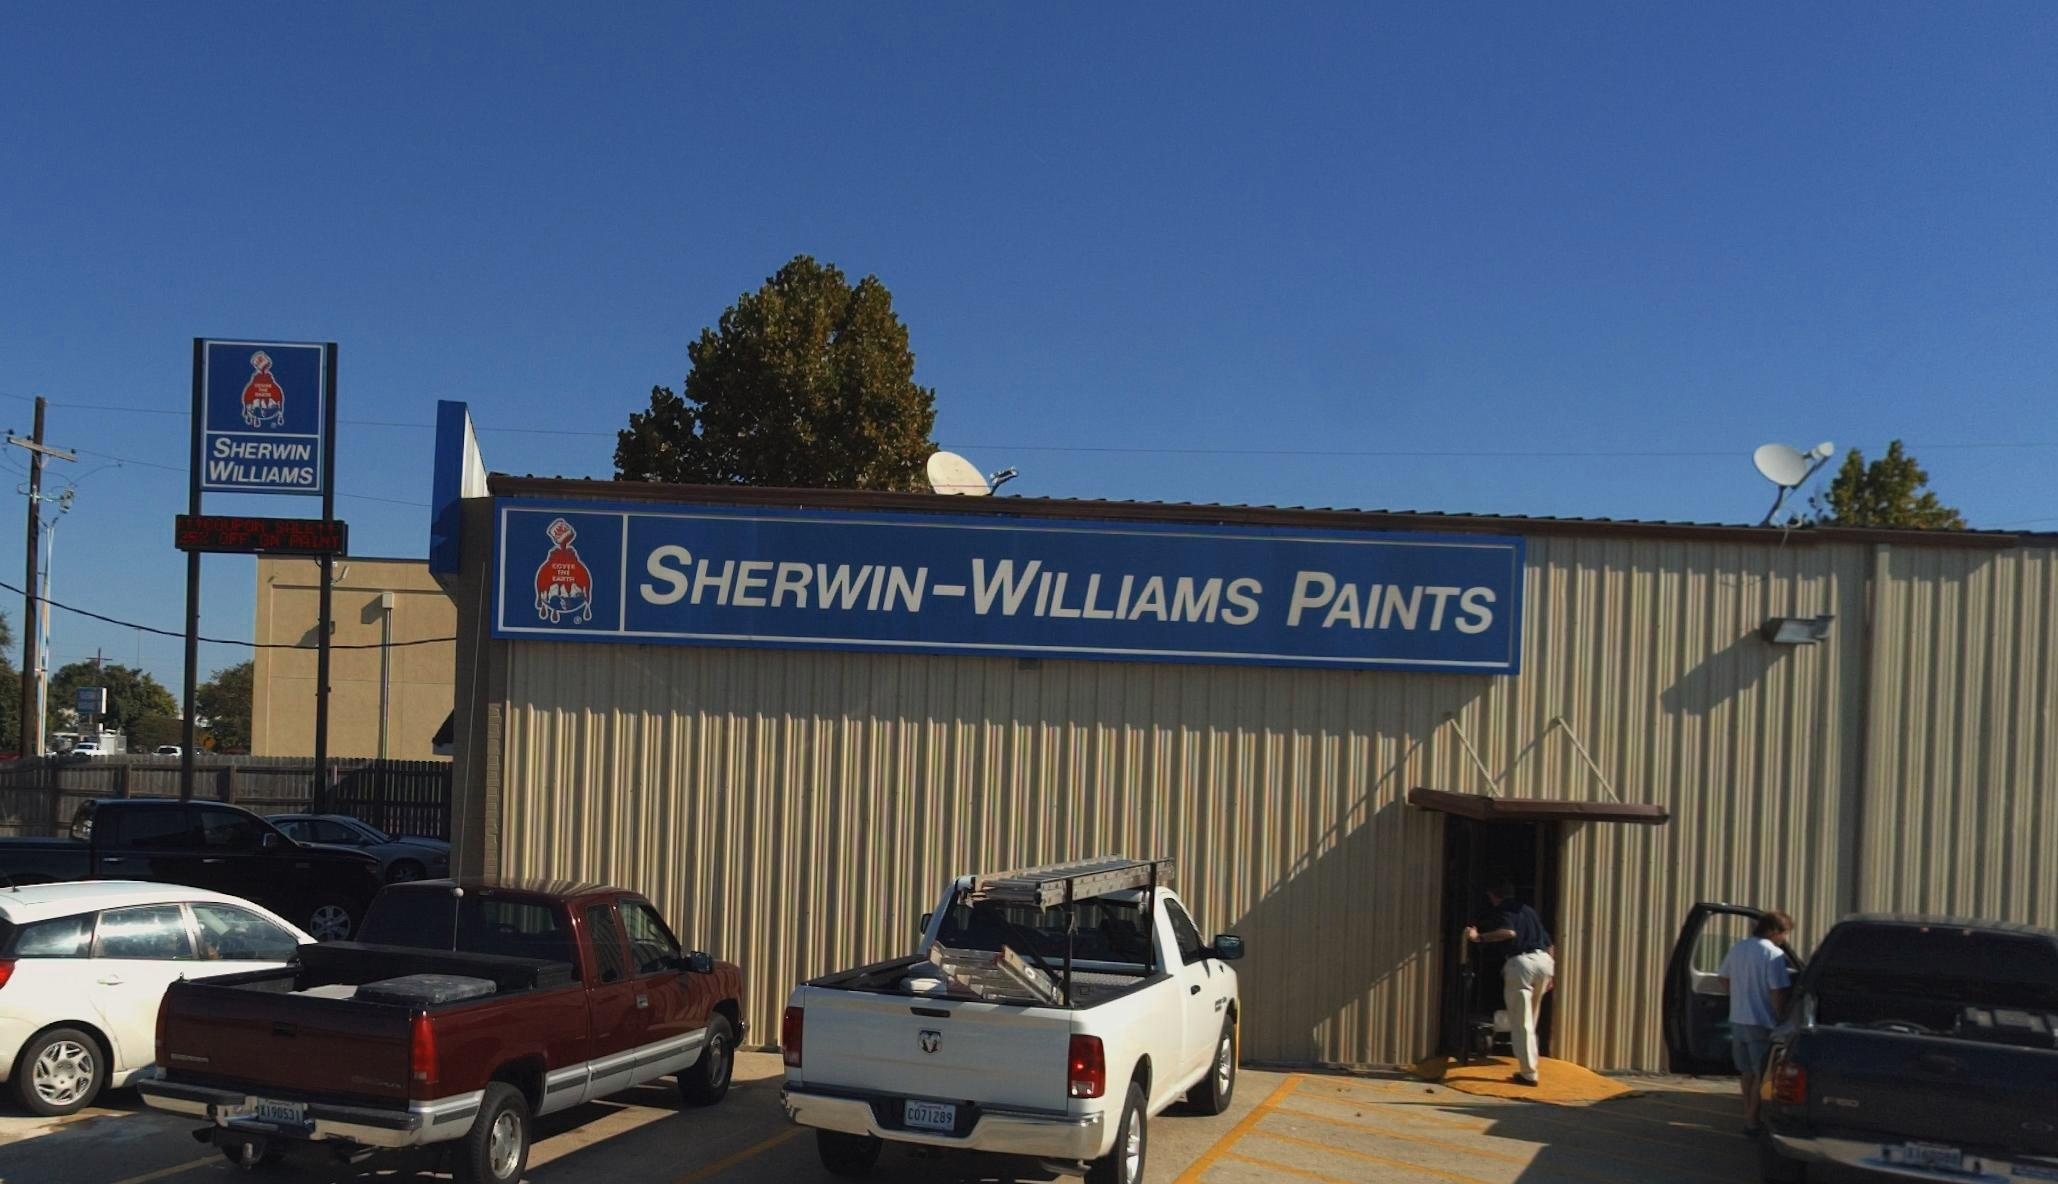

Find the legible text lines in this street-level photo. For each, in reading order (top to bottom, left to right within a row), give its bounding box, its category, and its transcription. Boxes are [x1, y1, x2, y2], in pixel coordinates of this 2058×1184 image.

[210, 434, 314, 463] BusinessName: SHERWIN
[206, 457, 316, 487] BusinessName: WILLIAMS
[201, 516, 317, 536] None: COUPON SALE
[176, 529, 342, 551] None: 25% OFF ON PAINT
[632, 538, 1501, 639] BusinessName: SHERIN-WILLIAMS PAINTS
[264, 1102, 301, 1123] None: 190531
[905, 1105, 954, 1127] None: CO71289